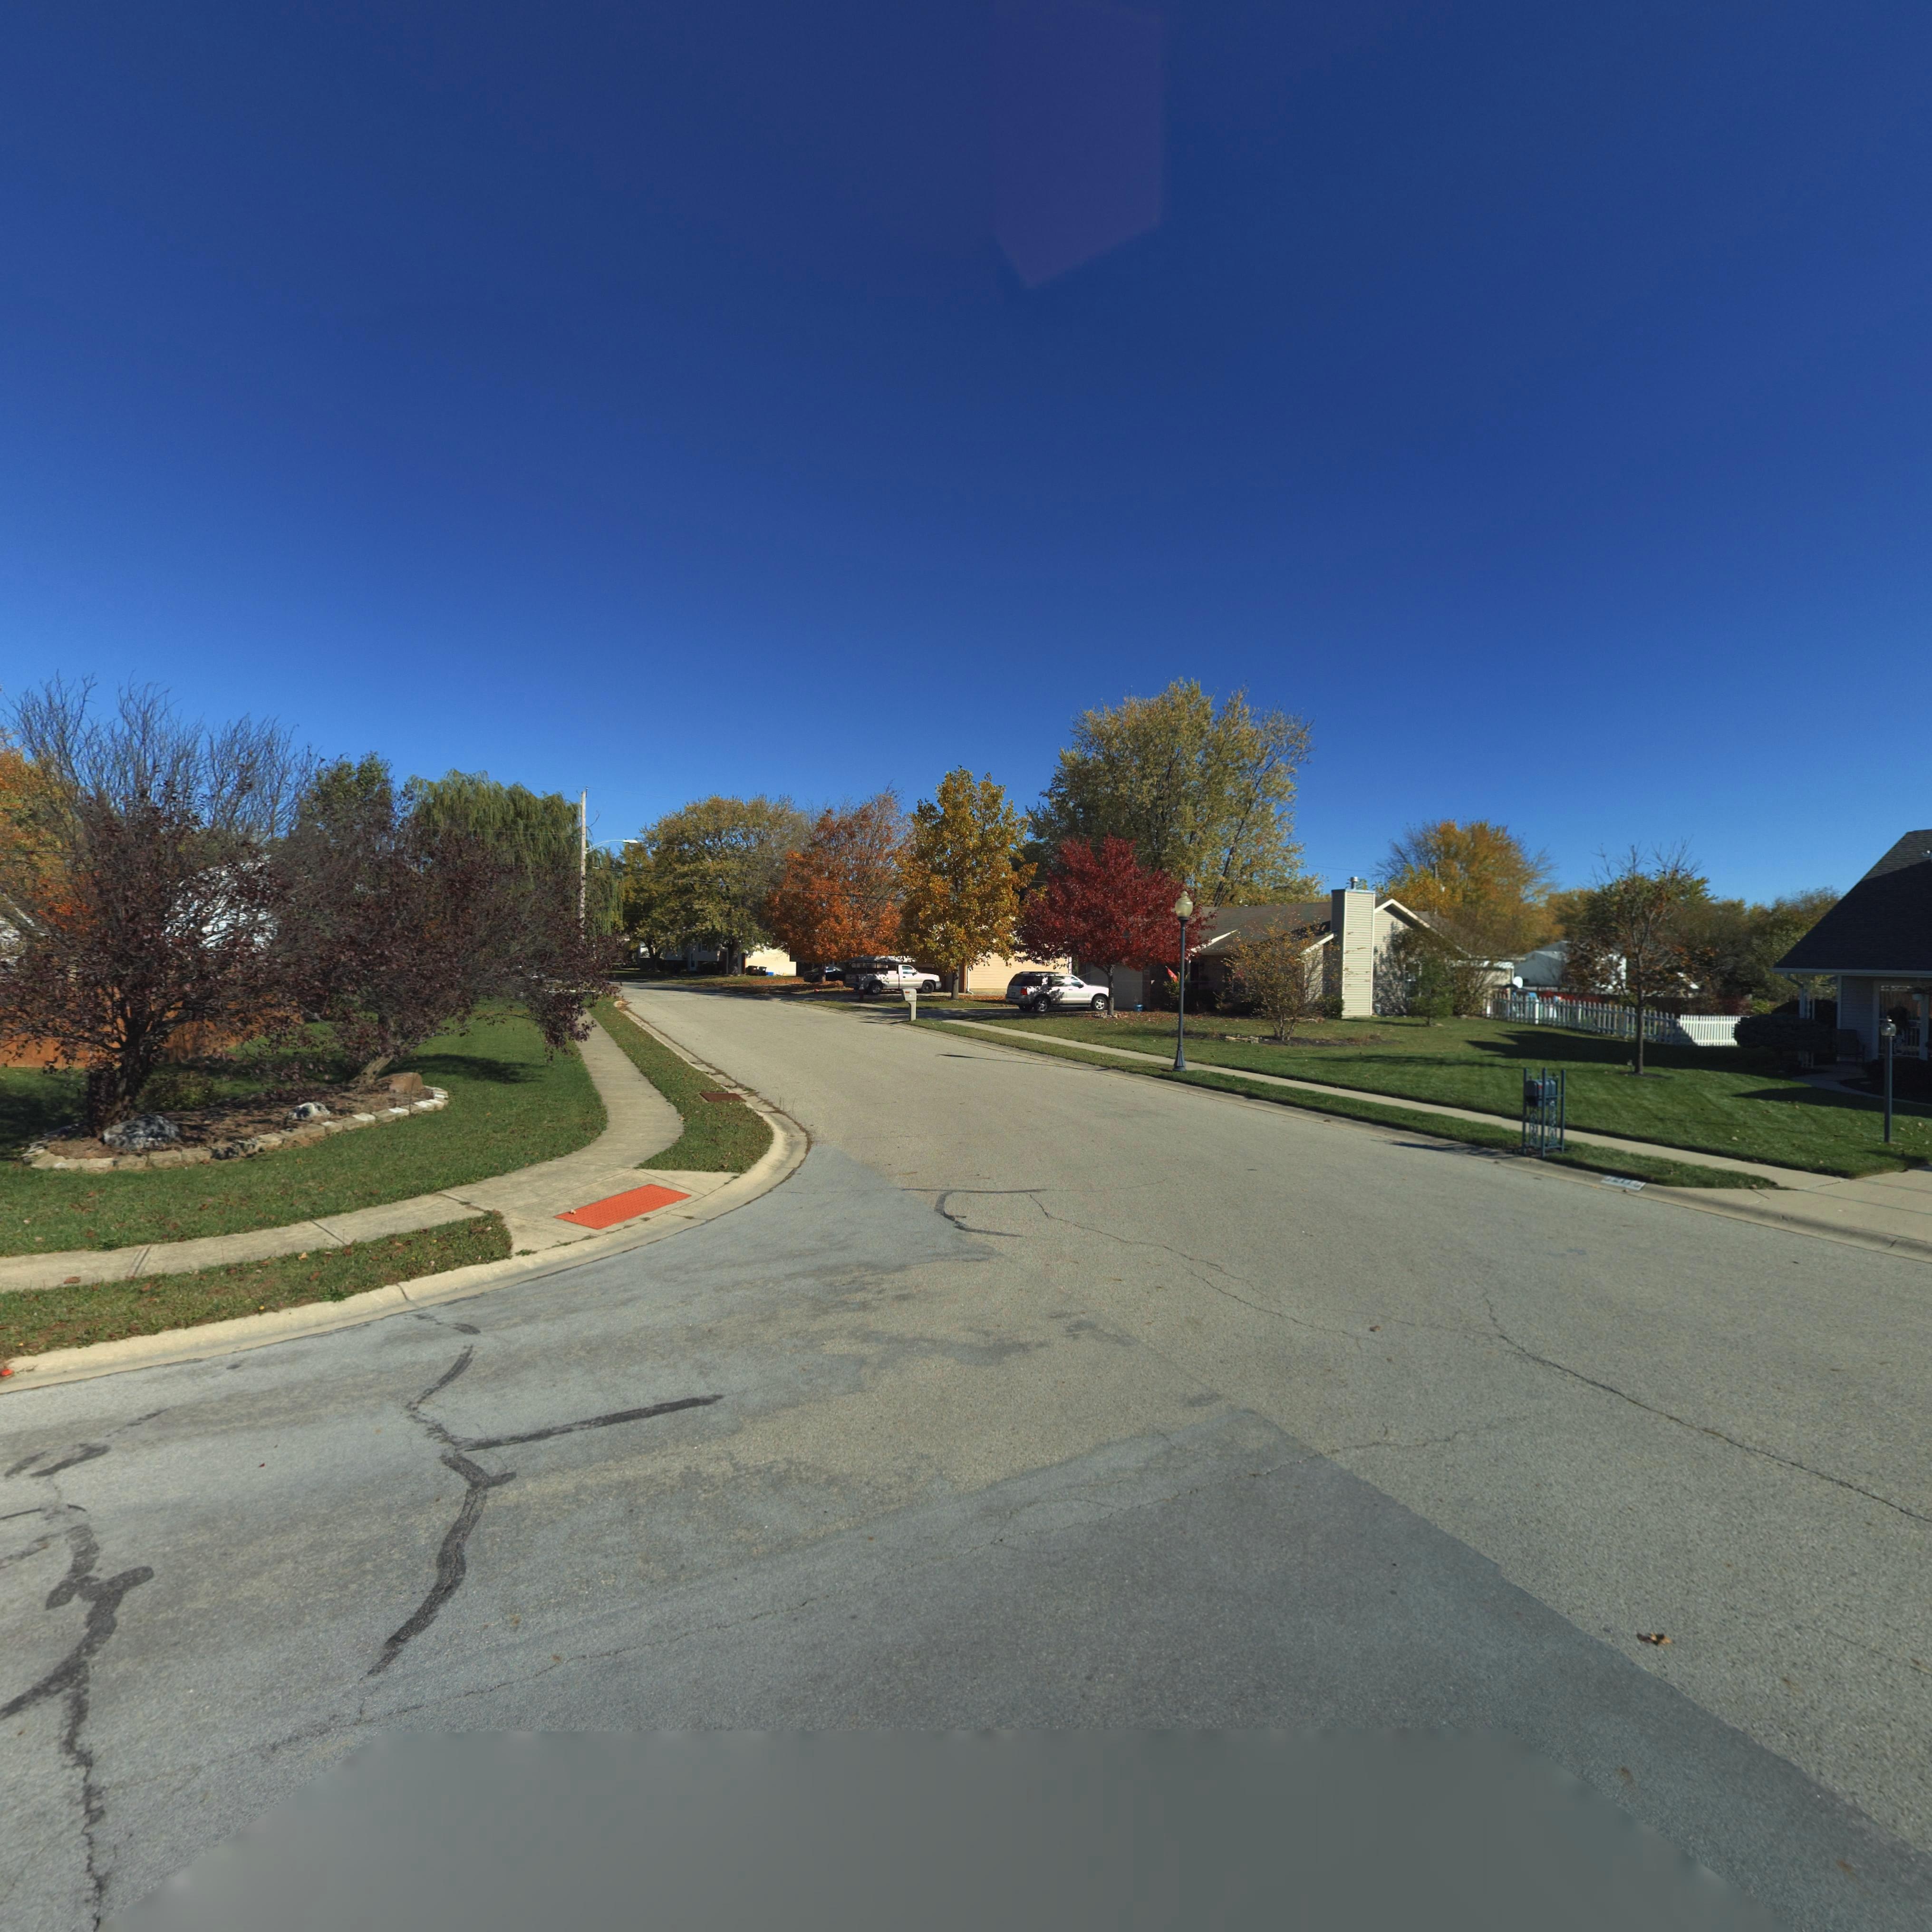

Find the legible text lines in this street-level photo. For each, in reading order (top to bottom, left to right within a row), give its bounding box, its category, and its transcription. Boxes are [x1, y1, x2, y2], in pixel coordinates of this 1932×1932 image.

[1610, 1176, 1635, 1186] StreetNumber: 211